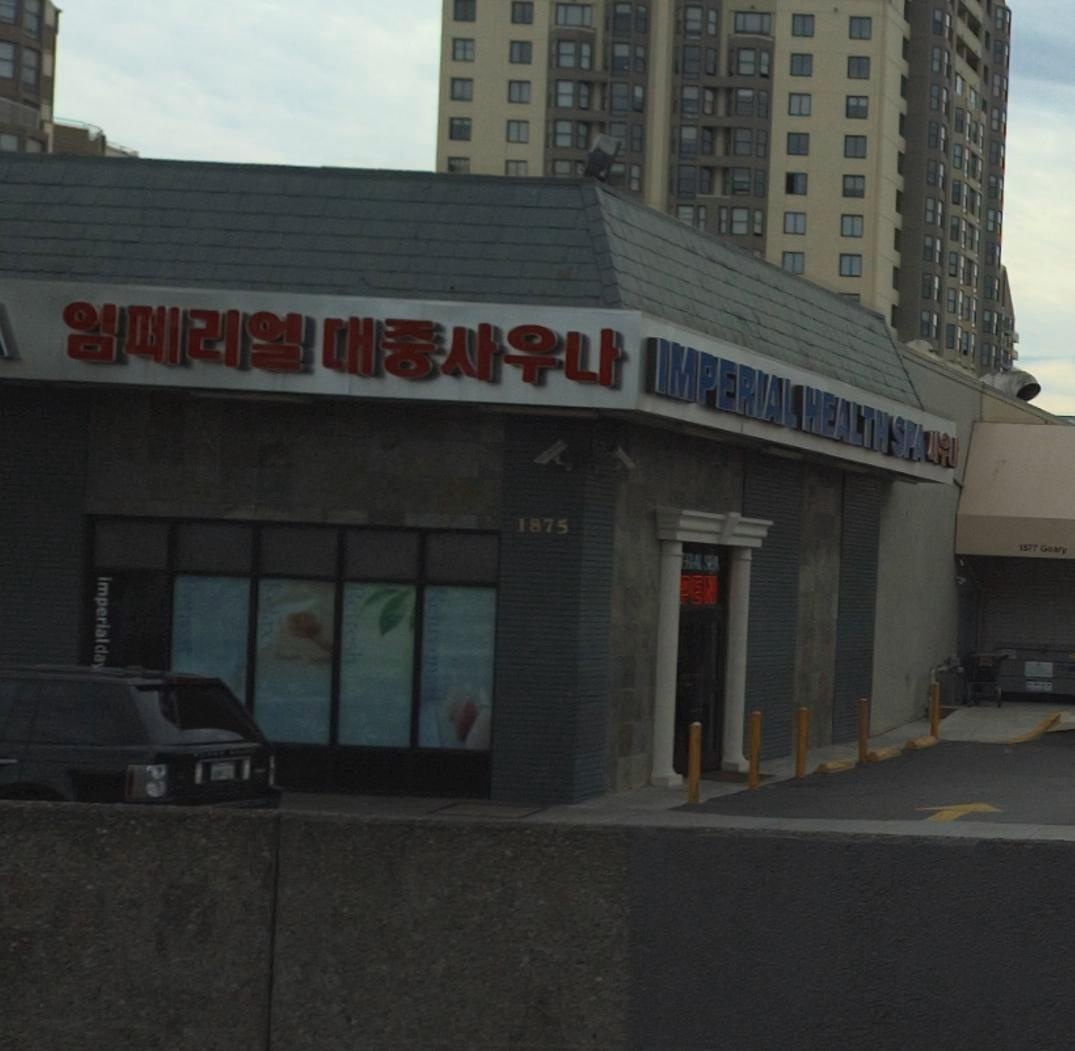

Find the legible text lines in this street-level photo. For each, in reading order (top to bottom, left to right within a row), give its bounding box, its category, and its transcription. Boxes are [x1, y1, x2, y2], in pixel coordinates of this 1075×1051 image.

[649, 332, 930, 468] BusinessName: IMPERIAL HEALTH SPA
[515, 514, 572, 537] StreetNumber: 1875
[1017, 542, 1040, 553] StreetNumber: 1*77
[1038, 542, 1069, 557] StreetName: Geary
[690, 553, 720, 572] None: AL SPA
[677, 572, 719, 609] None: PEN
[89, 574, 116, 669] None: imperialda